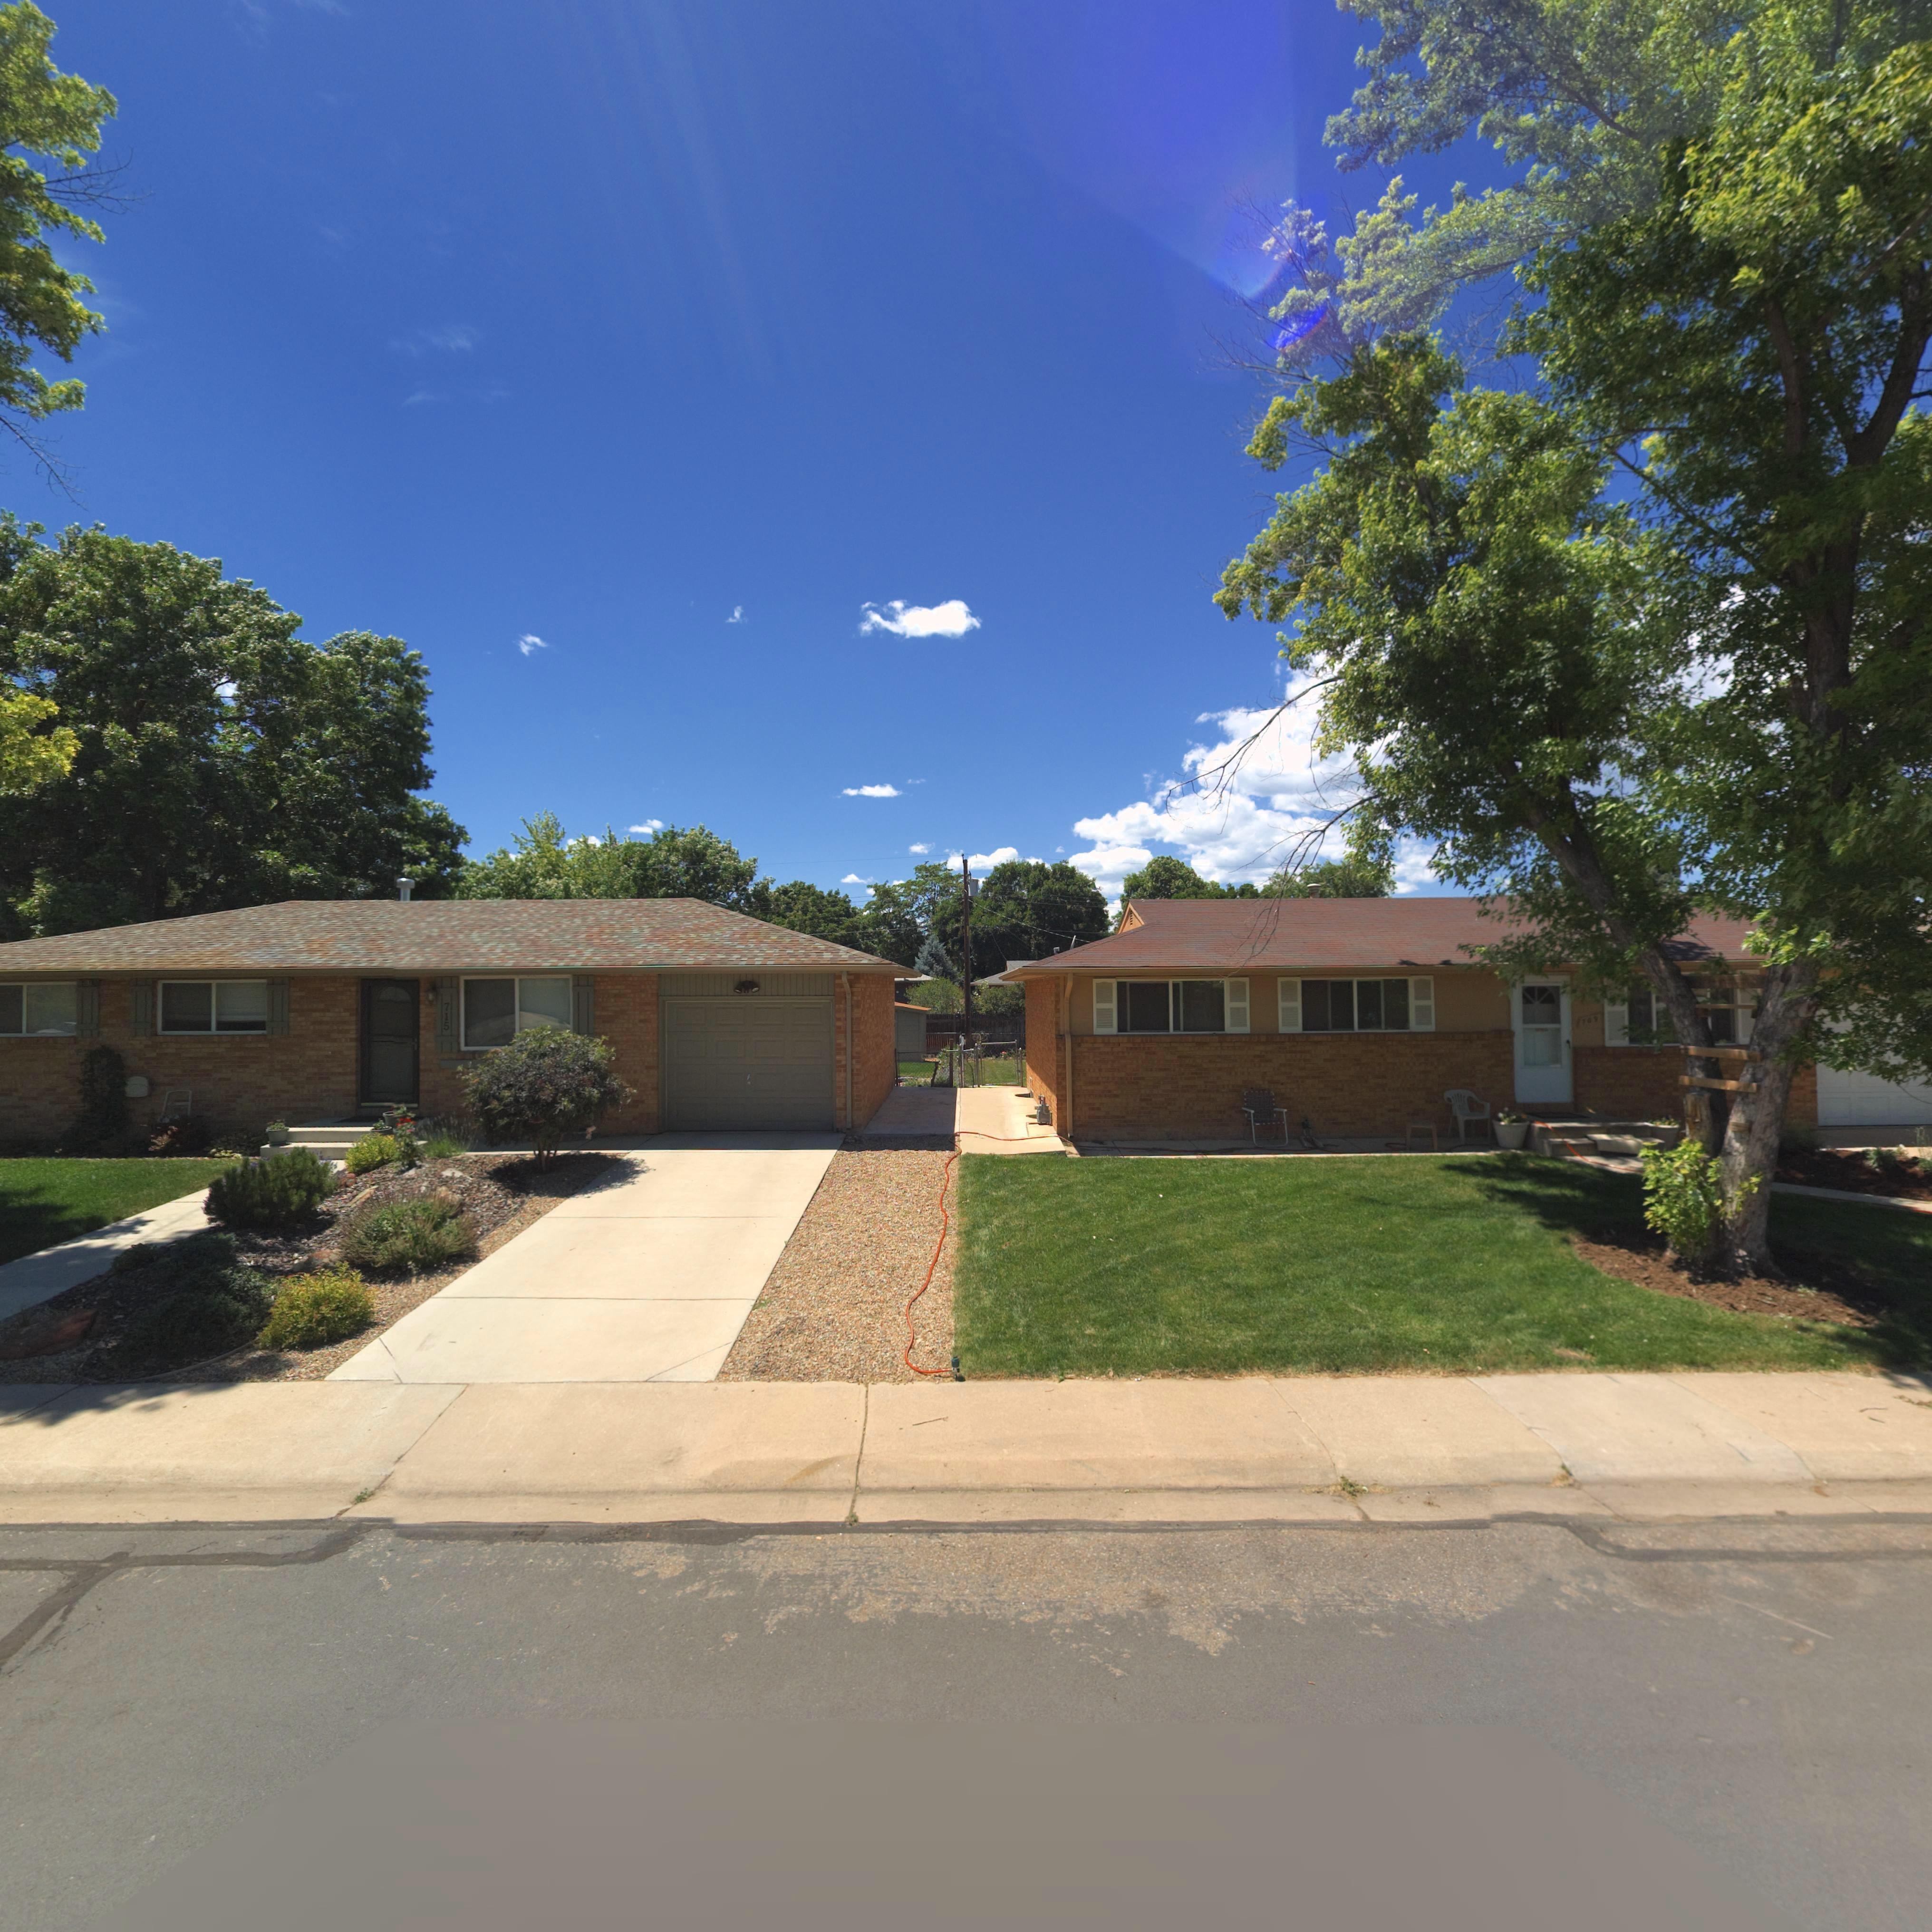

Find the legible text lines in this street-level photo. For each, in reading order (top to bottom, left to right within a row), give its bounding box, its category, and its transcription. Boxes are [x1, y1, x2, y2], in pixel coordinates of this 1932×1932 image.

[443, 1002, 450, 1031] StreetNumber: 715
[1581, 1015, 1598, 1026] StreetNumber: 709